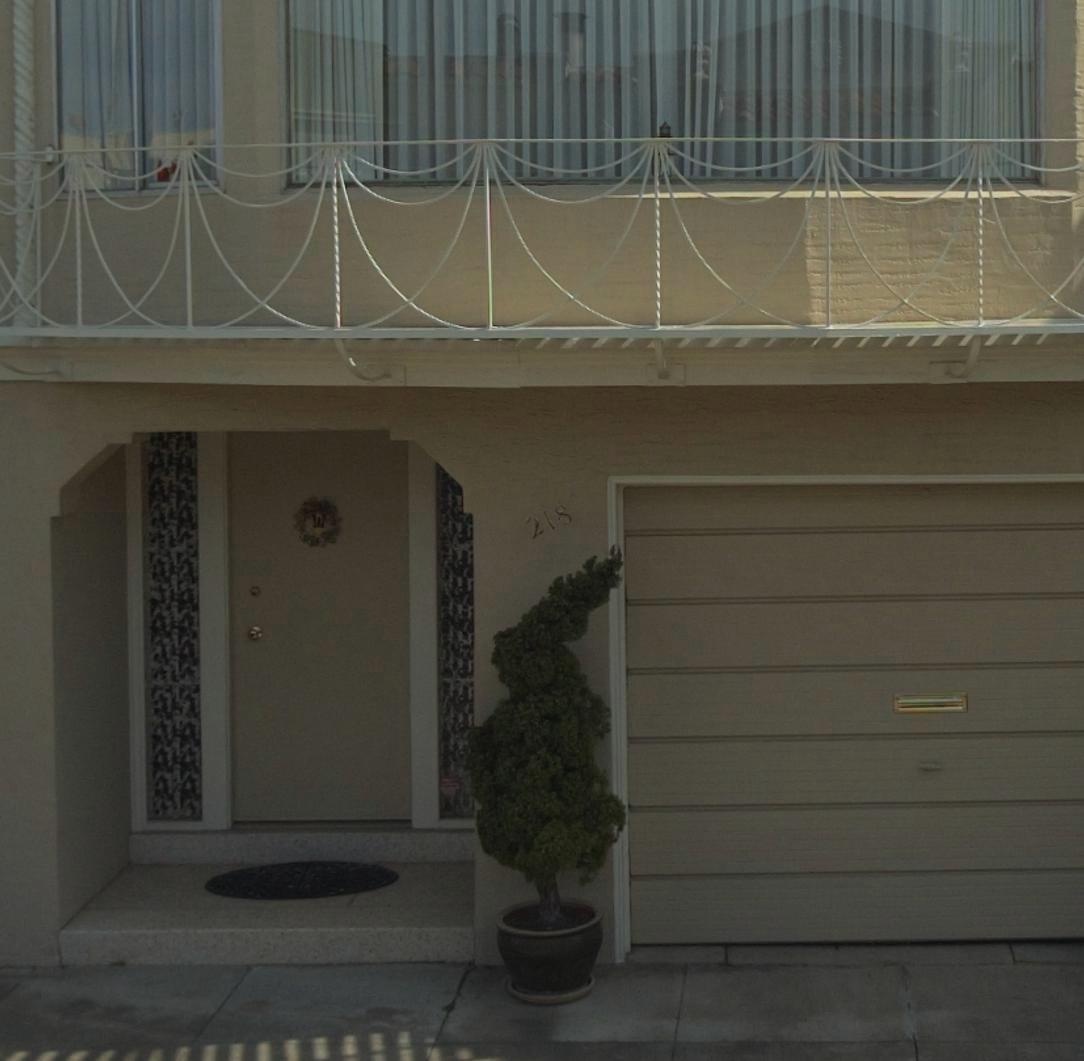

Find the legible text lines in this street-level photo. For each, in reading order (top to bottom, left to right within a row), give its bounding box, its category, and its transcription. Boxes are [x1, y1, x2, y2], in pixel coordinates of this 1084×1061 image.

[522, 501, 575, 543] StreetNumber: 218